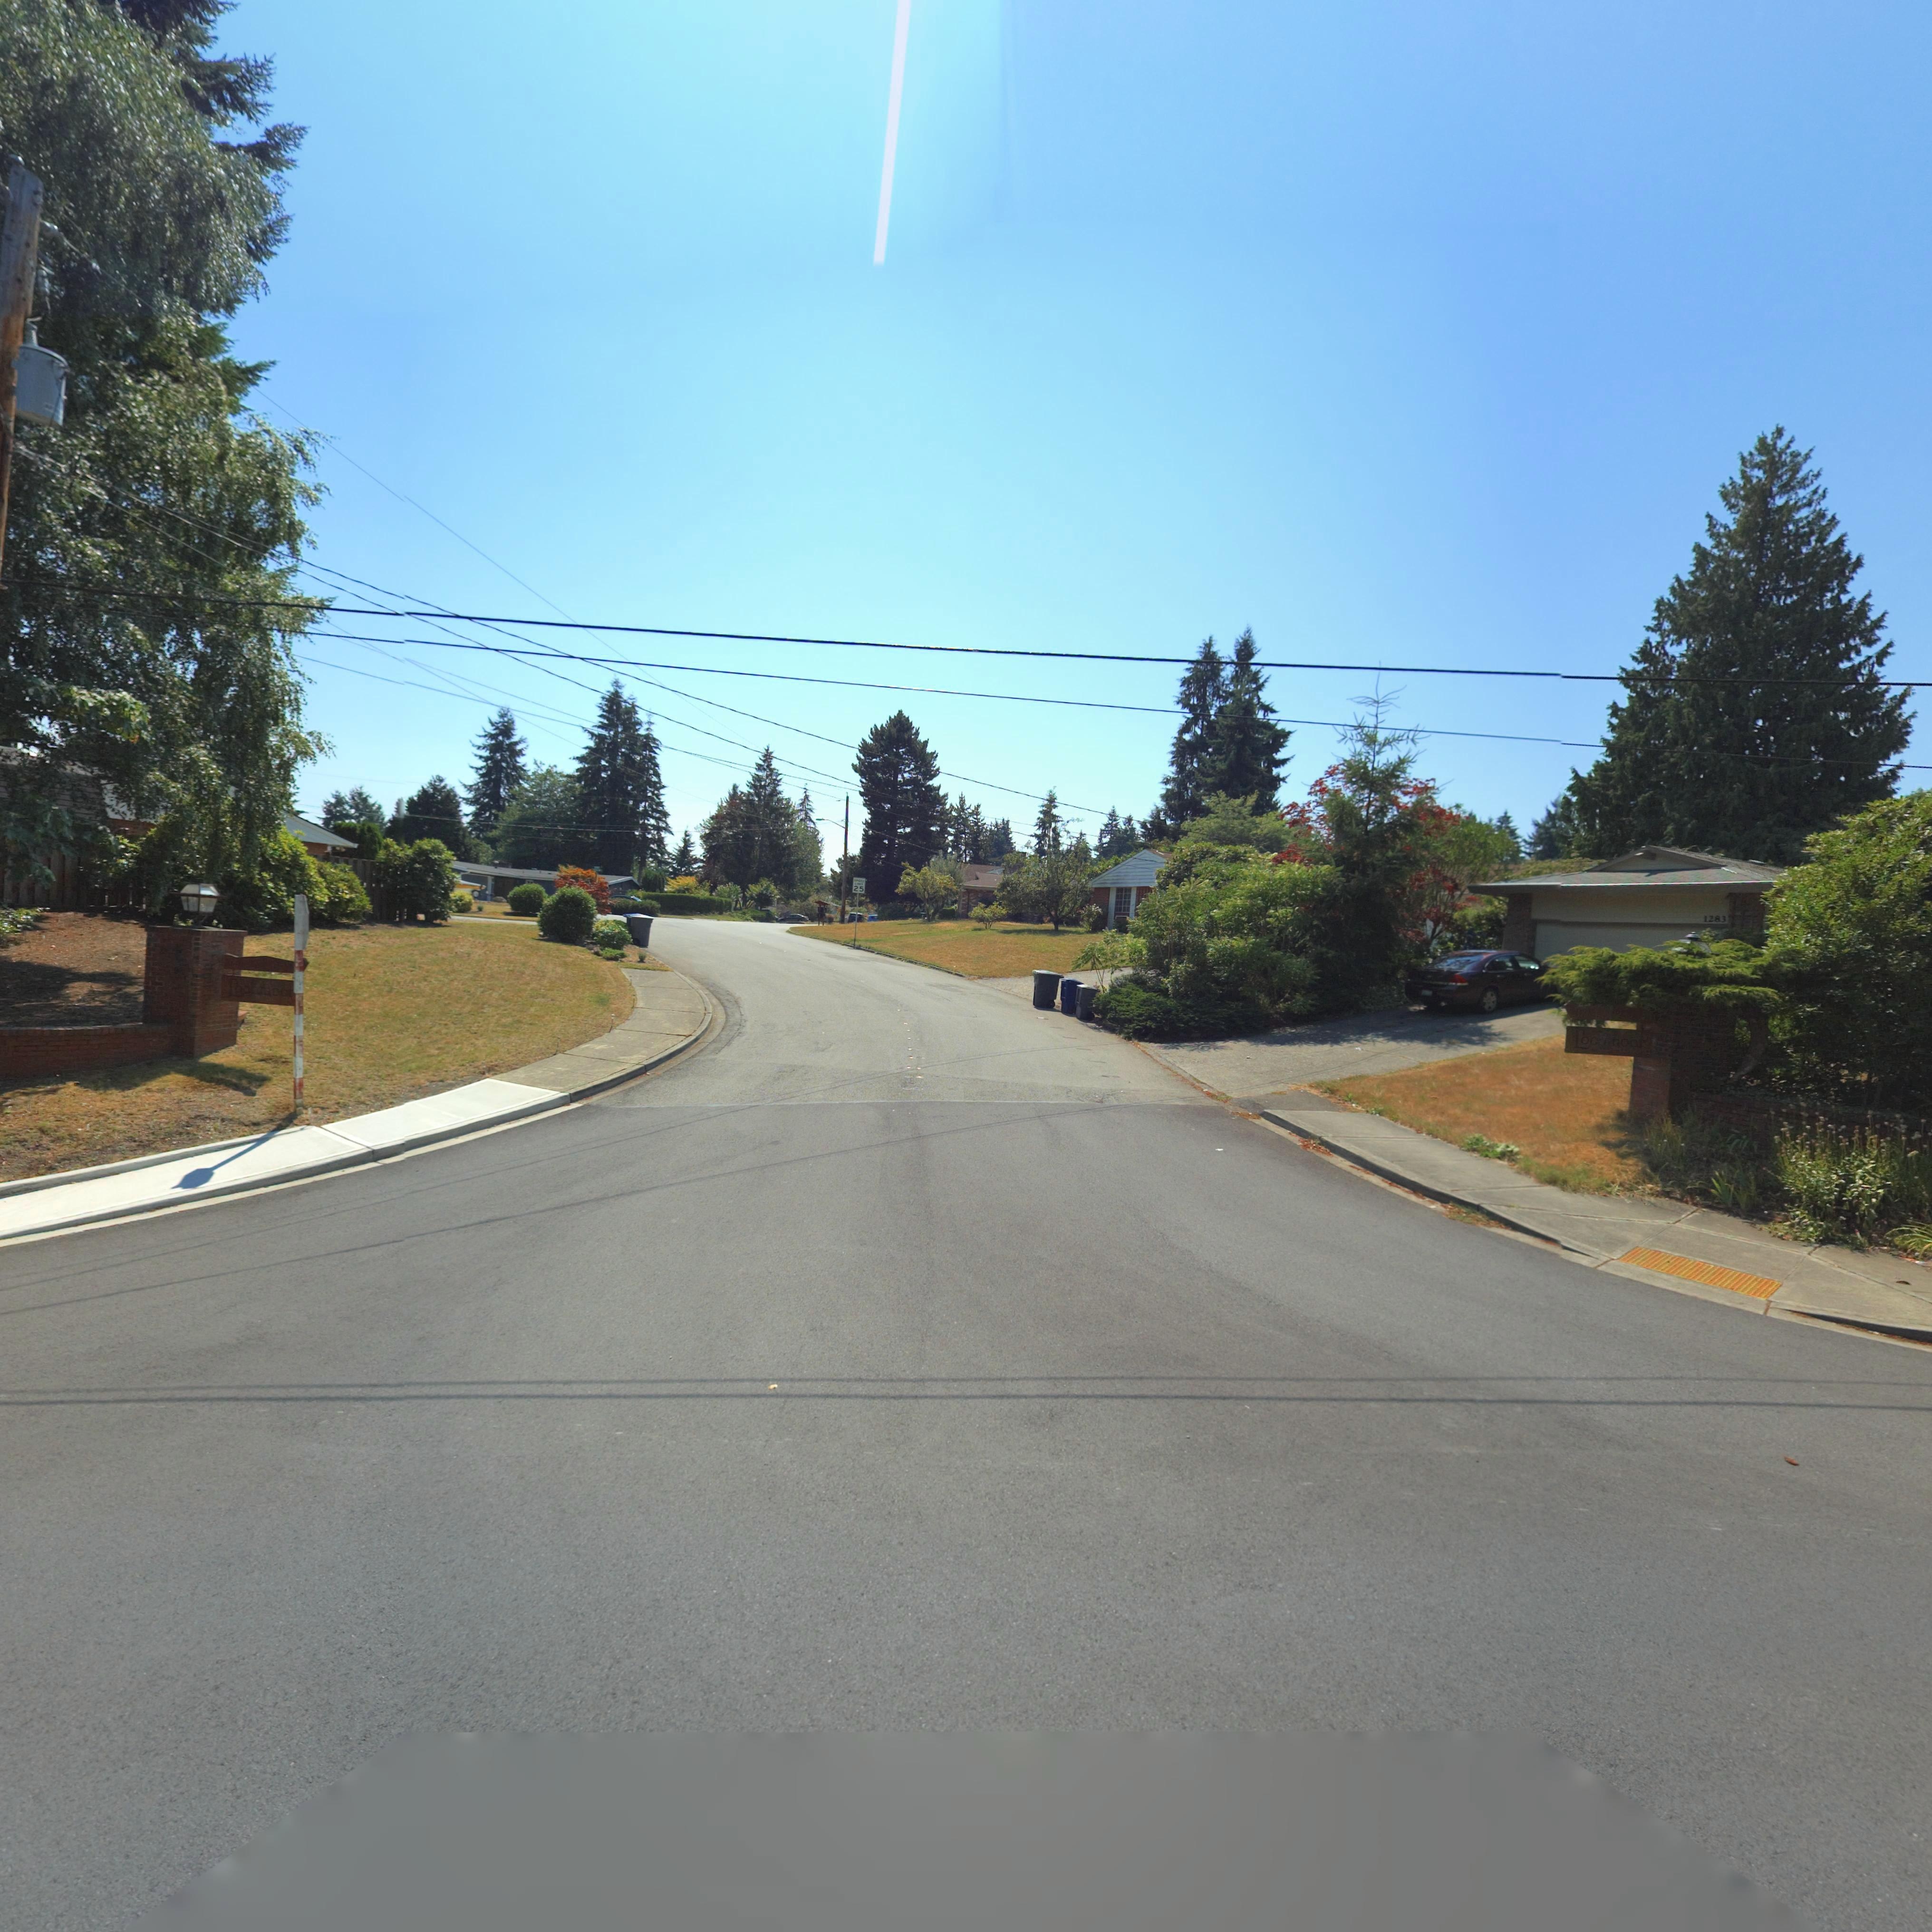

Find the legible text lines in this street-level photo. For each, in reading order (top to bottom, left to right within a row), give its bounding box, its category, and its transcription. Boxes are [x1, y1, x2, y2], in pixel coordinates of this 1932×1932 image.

[1703, 914, 1727, 923] StreetNumber: 1283